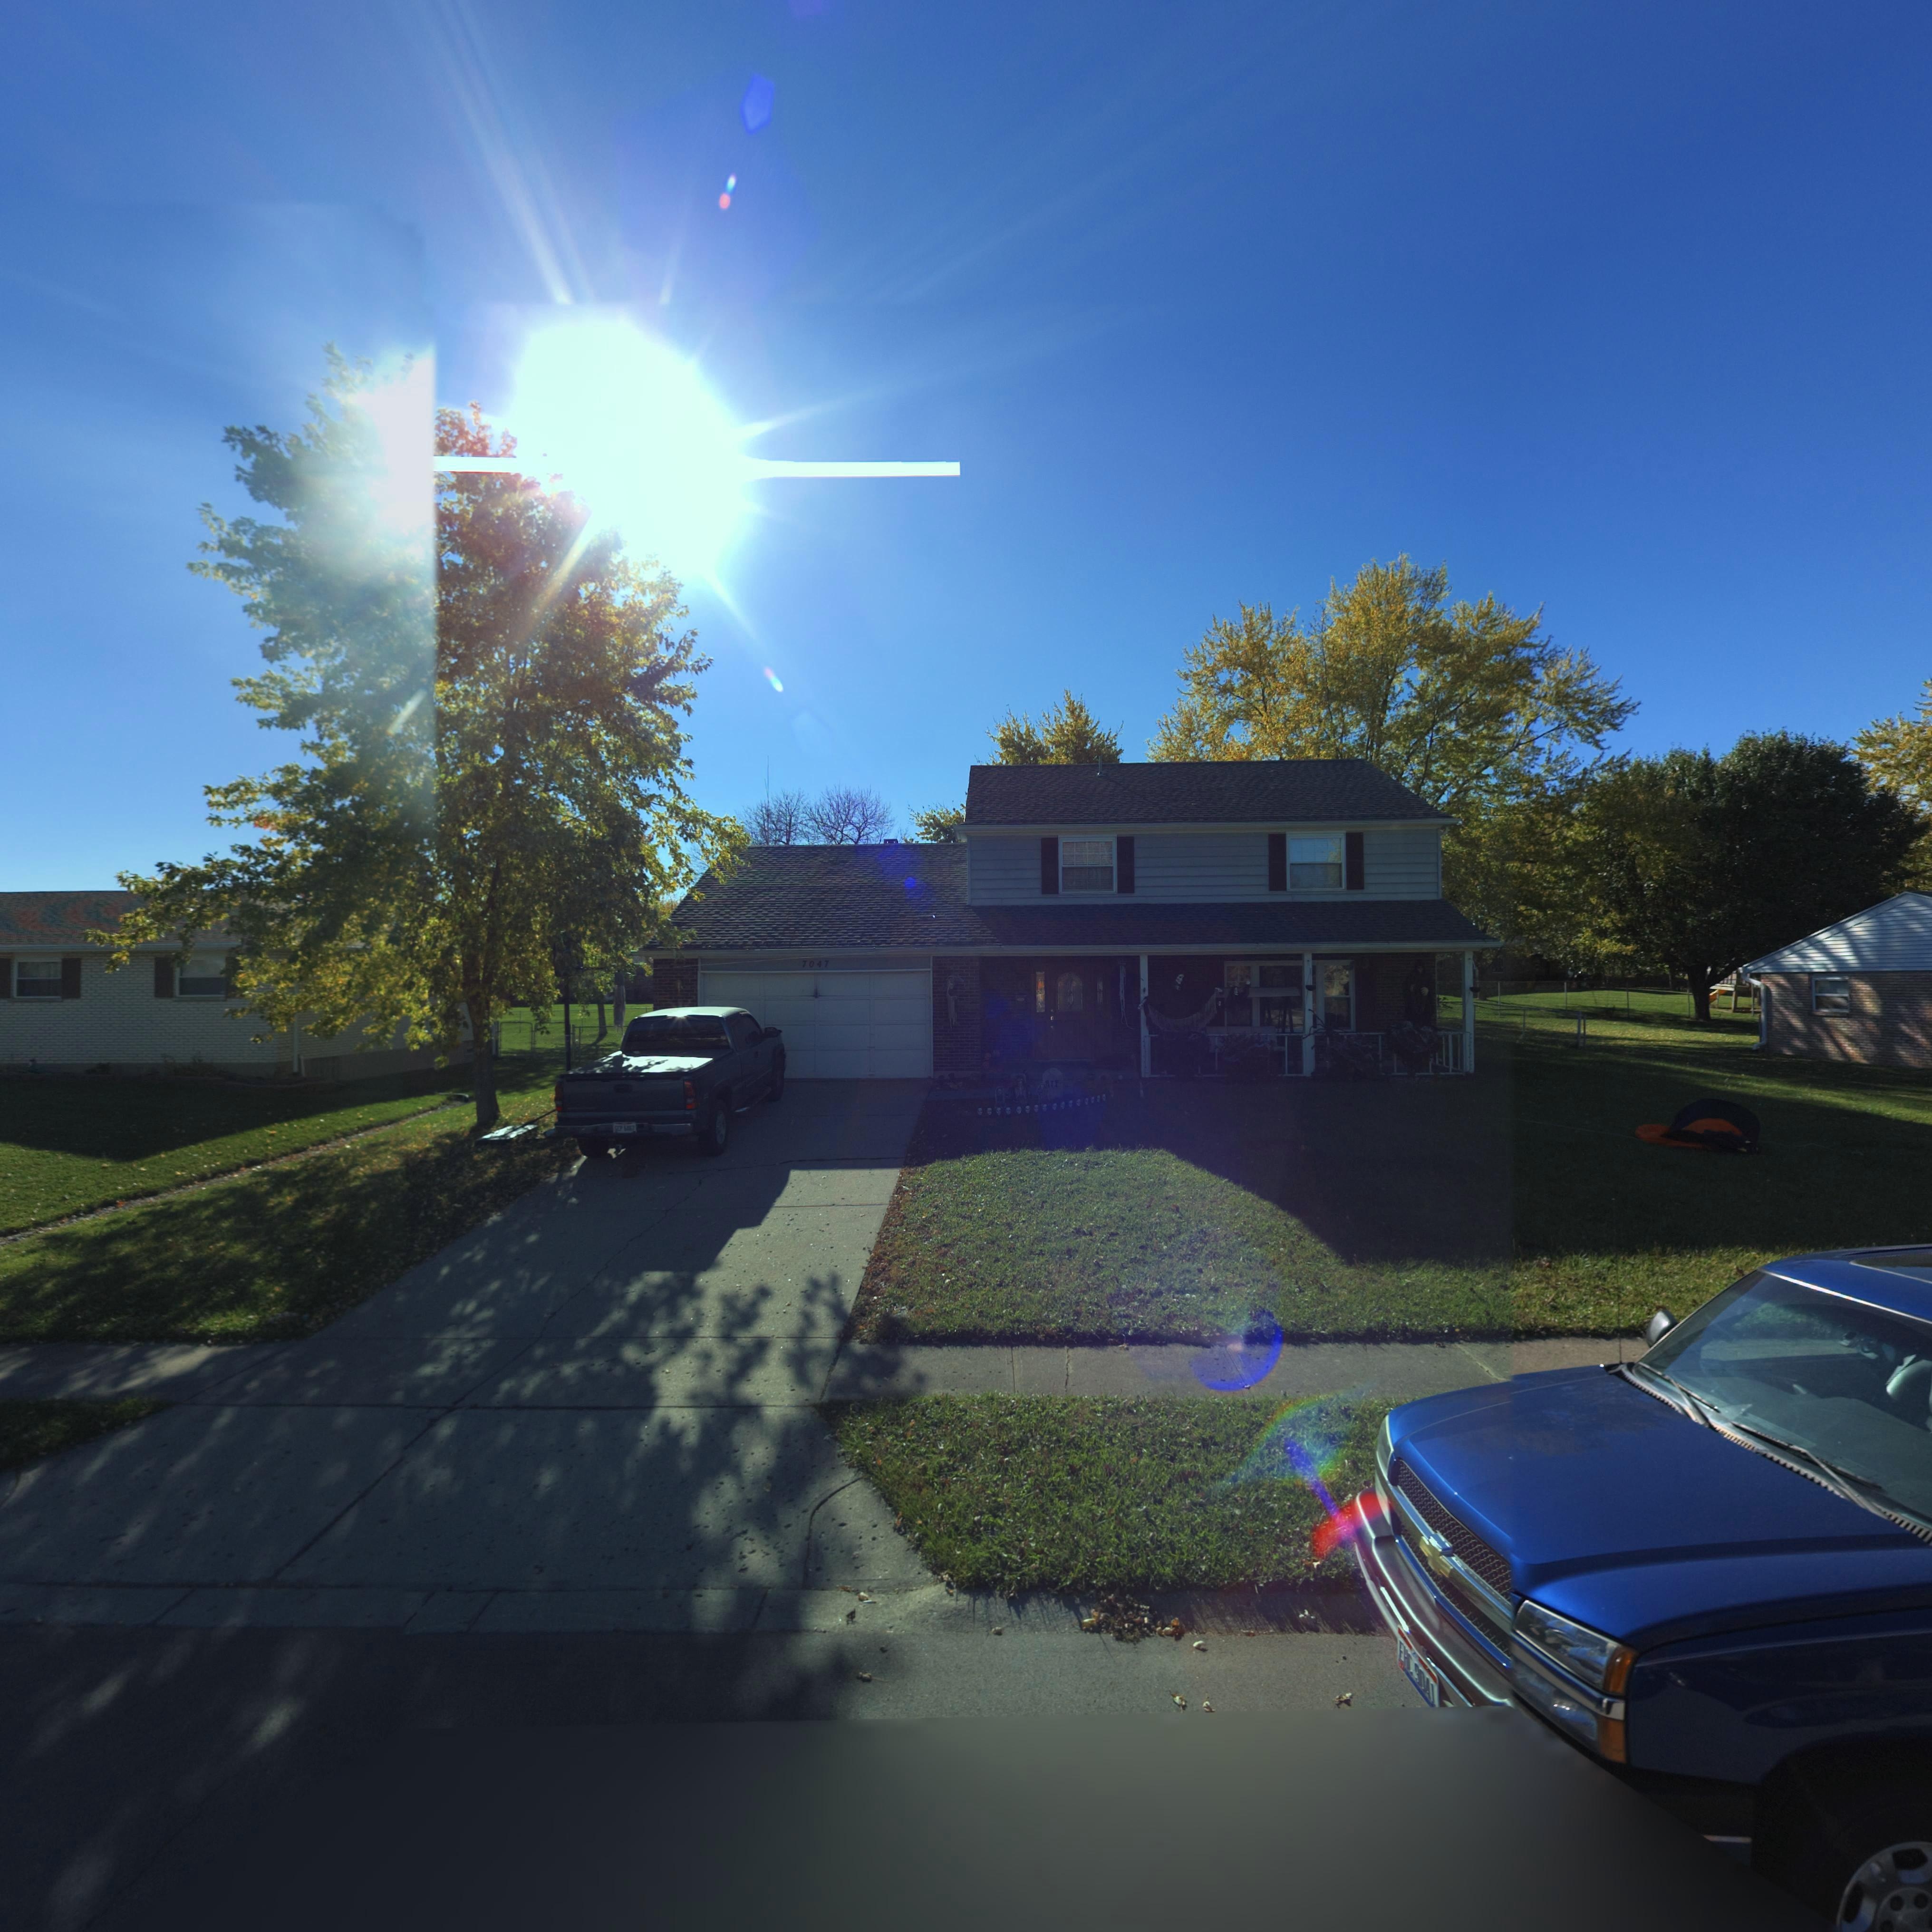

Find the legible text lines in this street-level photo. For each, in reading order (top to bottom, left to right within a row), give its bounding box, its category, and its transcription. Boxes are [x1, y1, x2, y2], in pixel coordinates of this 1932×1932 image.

[801, 960, 830, 968] StreetNumber: 7047